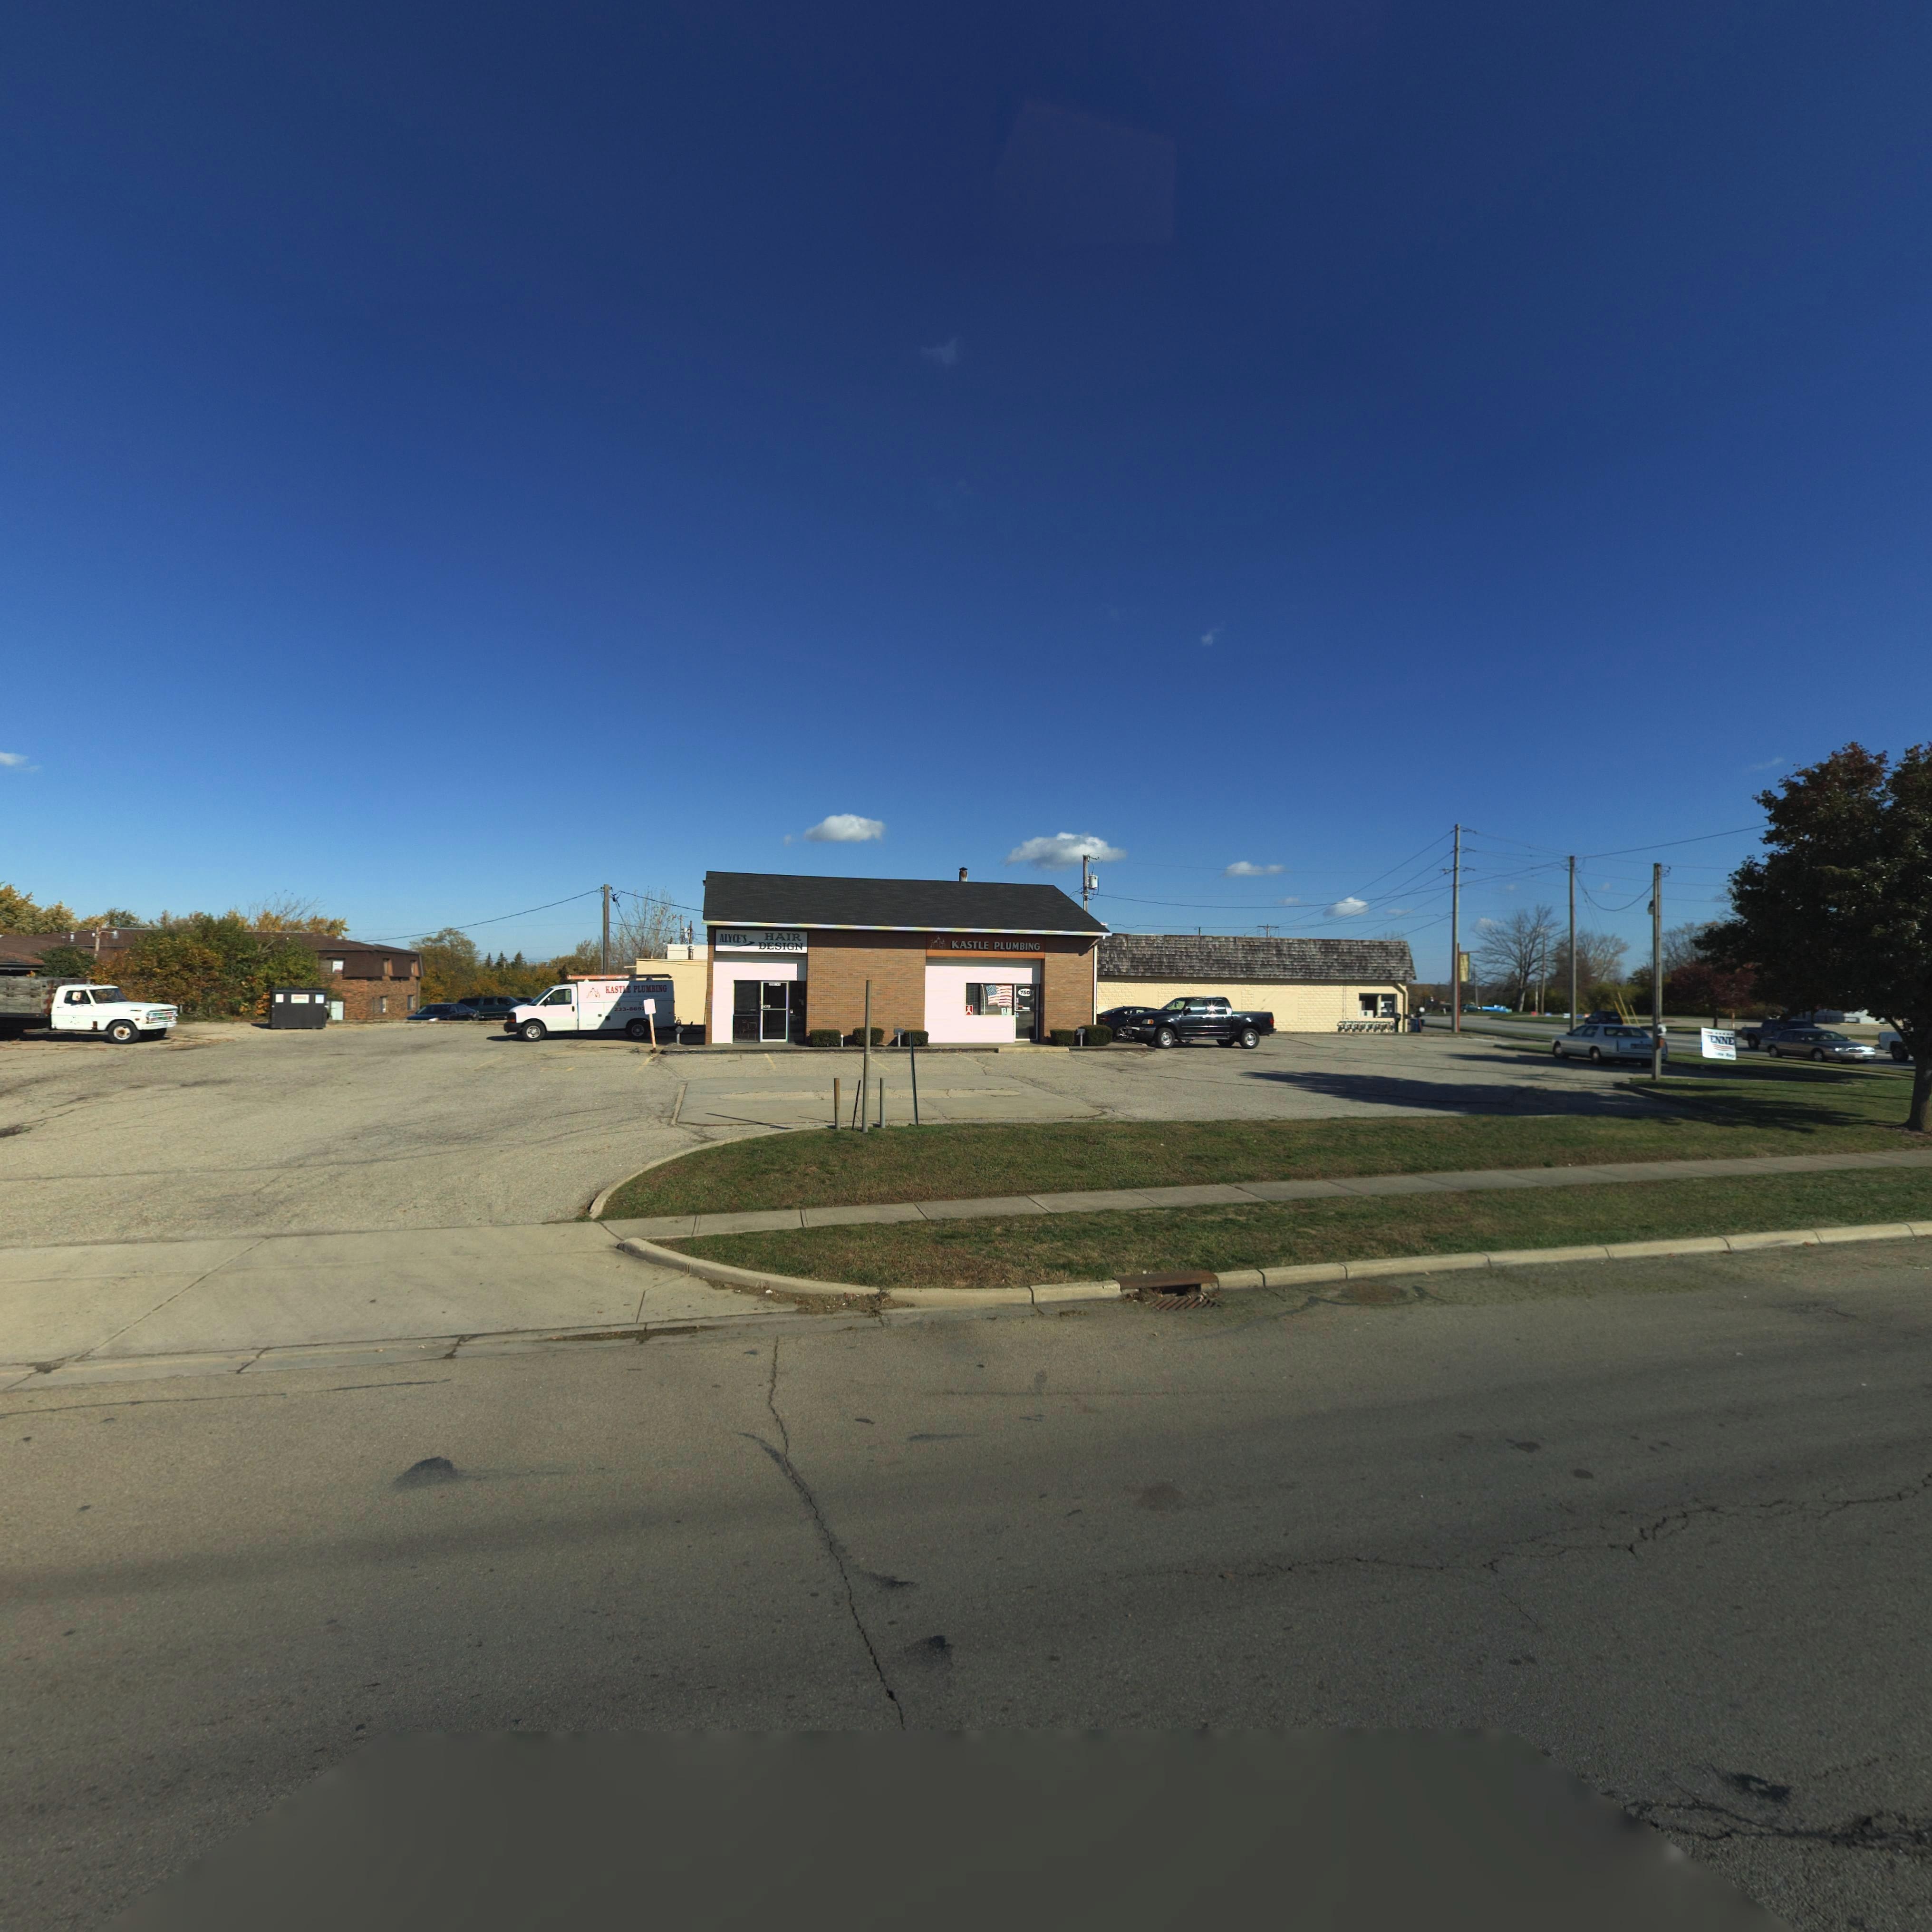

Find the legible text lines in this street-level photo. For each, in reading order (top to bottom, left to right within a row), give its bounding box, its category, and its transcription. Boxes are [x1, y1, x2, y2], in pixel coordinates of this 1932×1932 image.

[718, 933, 748, 944] BusinessName: ALYCE'S
[763, 932, 802, 942] BusinessName: HAIR
[758, 941, 804, 951] BusinessName: DESIGN
[950, 940, 1041, 951] BusinessName: KASTLE PLUMBING
[768, 982, 775, 986] StreetNumber: 7*0
[1020, 990, 1033, 995] StreetNumber: 7501